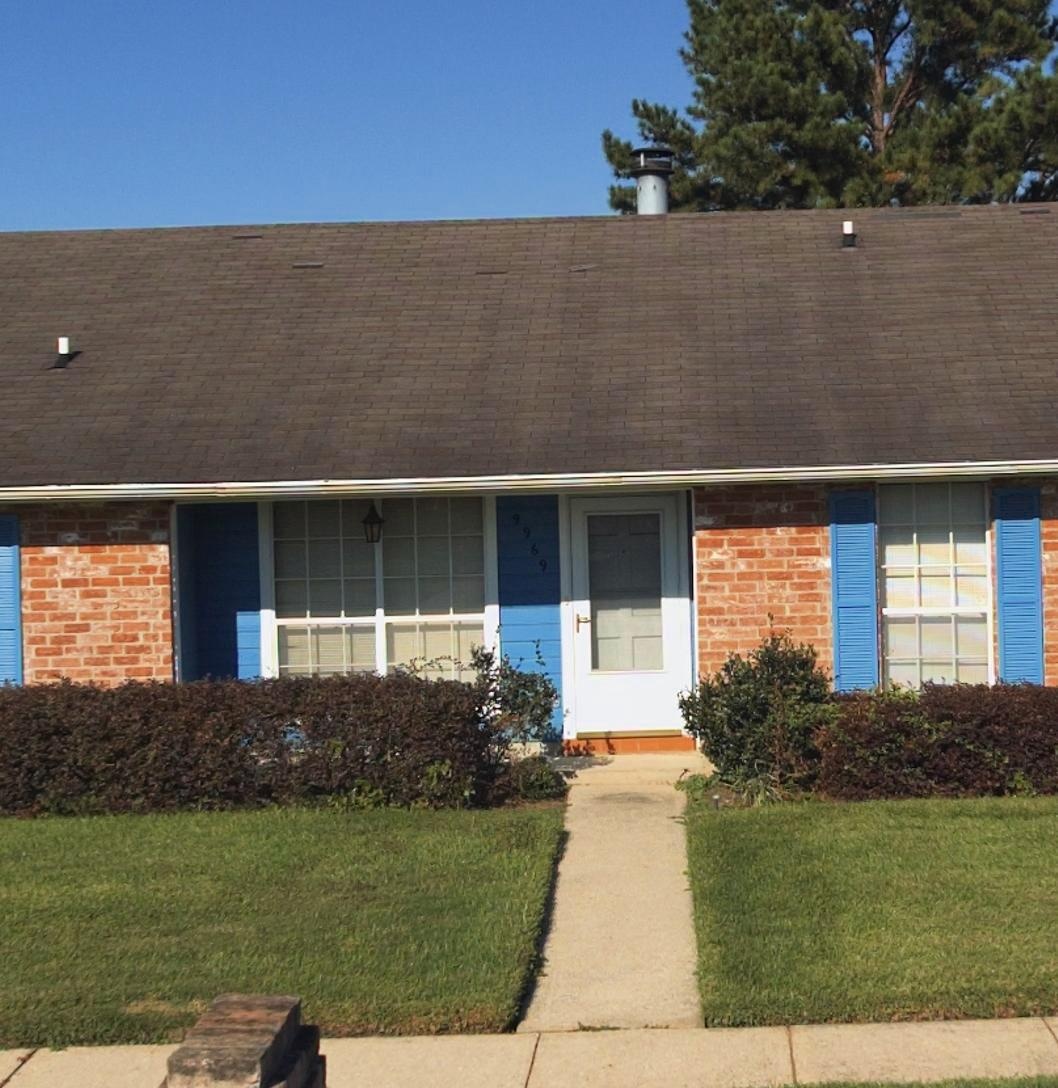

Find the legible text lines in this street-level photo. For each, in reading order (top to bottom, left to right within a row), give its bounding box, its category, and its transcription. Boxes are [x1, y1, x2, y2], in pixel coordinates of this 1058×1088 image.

[511, 511, 549, 576] StreetNumber: 9969